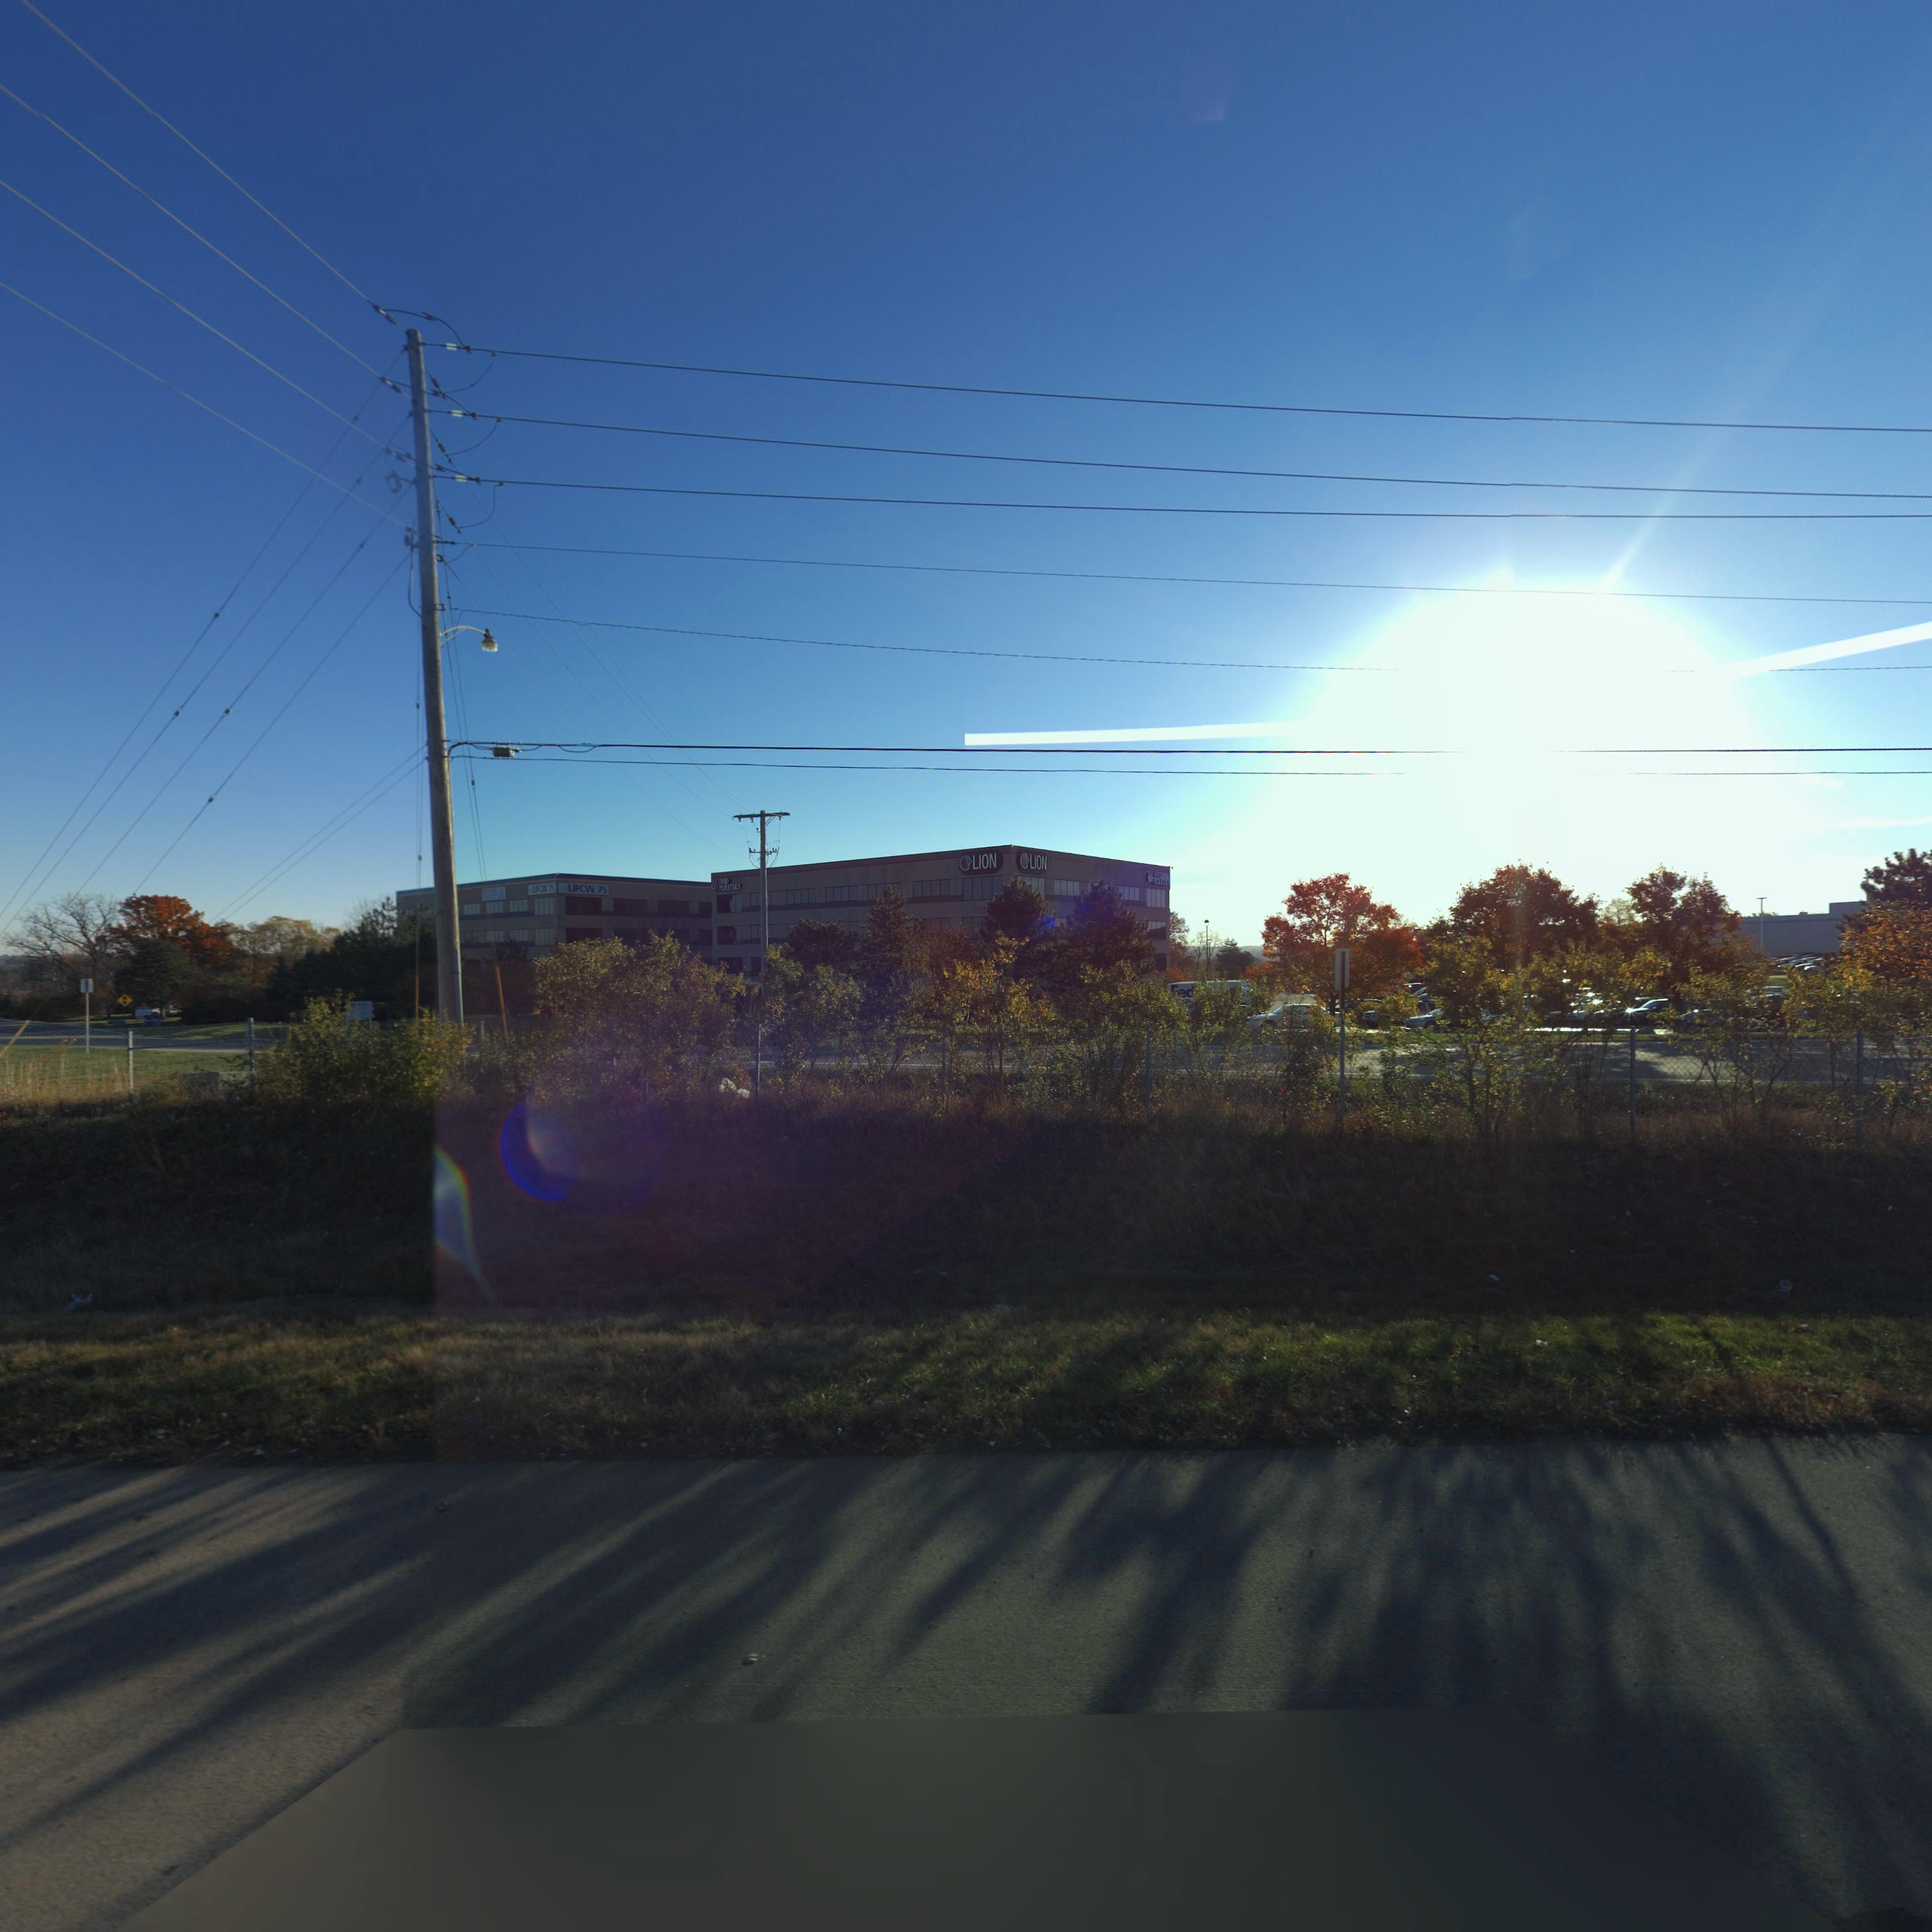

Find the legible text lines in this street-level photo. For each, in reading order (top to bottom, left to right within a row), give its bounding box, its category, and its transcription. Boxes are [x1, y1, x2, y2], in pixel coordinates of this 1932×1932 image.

[970, 852, 998, 872] None: LION
[1028, 852, 1050, 874] None: LION
[717, 876, 729, 885] None: ORTHO
[530, 883, 555, 896] None: UFCW 75
[566, 882, 609, 898] None: UFCW 75
[718, 883, 741, 892] None: P***t**S
[972, 905, 987, 915] StreetNumber: 720